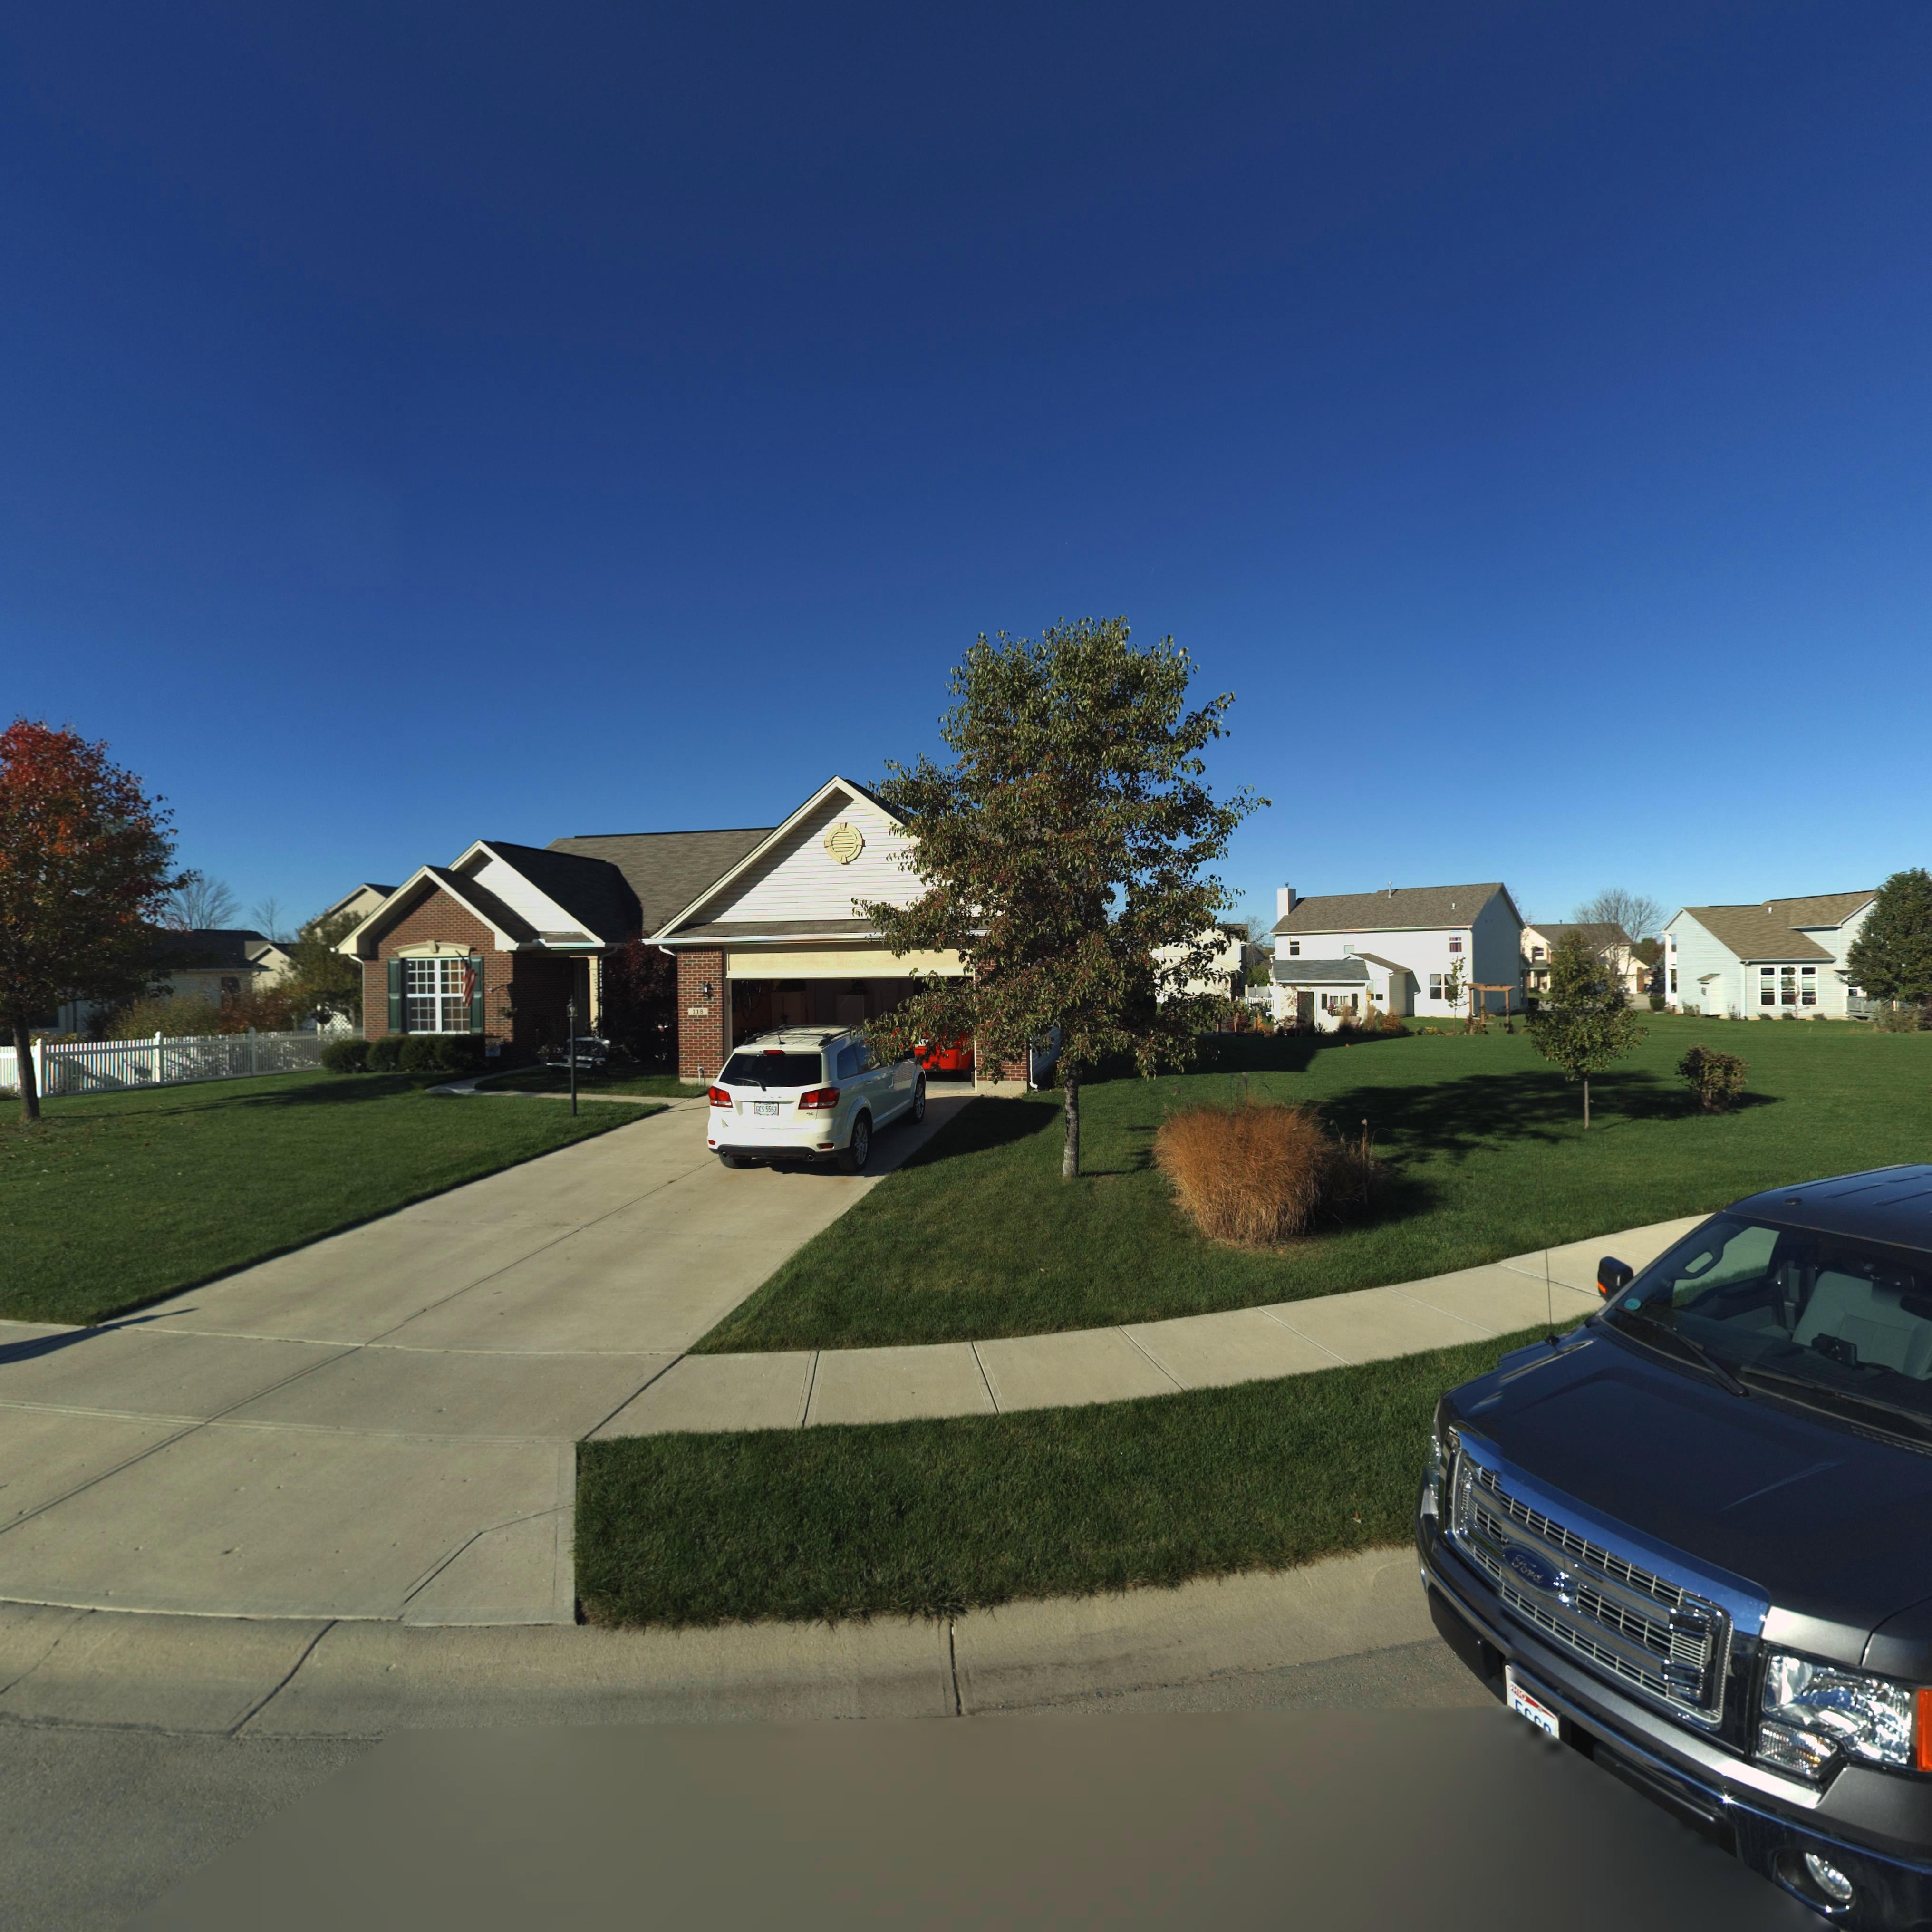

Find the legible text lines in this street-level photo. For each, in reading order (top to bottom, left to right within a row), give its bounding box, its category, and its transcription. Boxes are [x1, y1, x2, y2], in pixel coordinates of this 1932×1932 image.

[692, 1008, 704, 1014] StreetNumber: 118
[754, 1103, 777, 1113] None: GCS 55*3